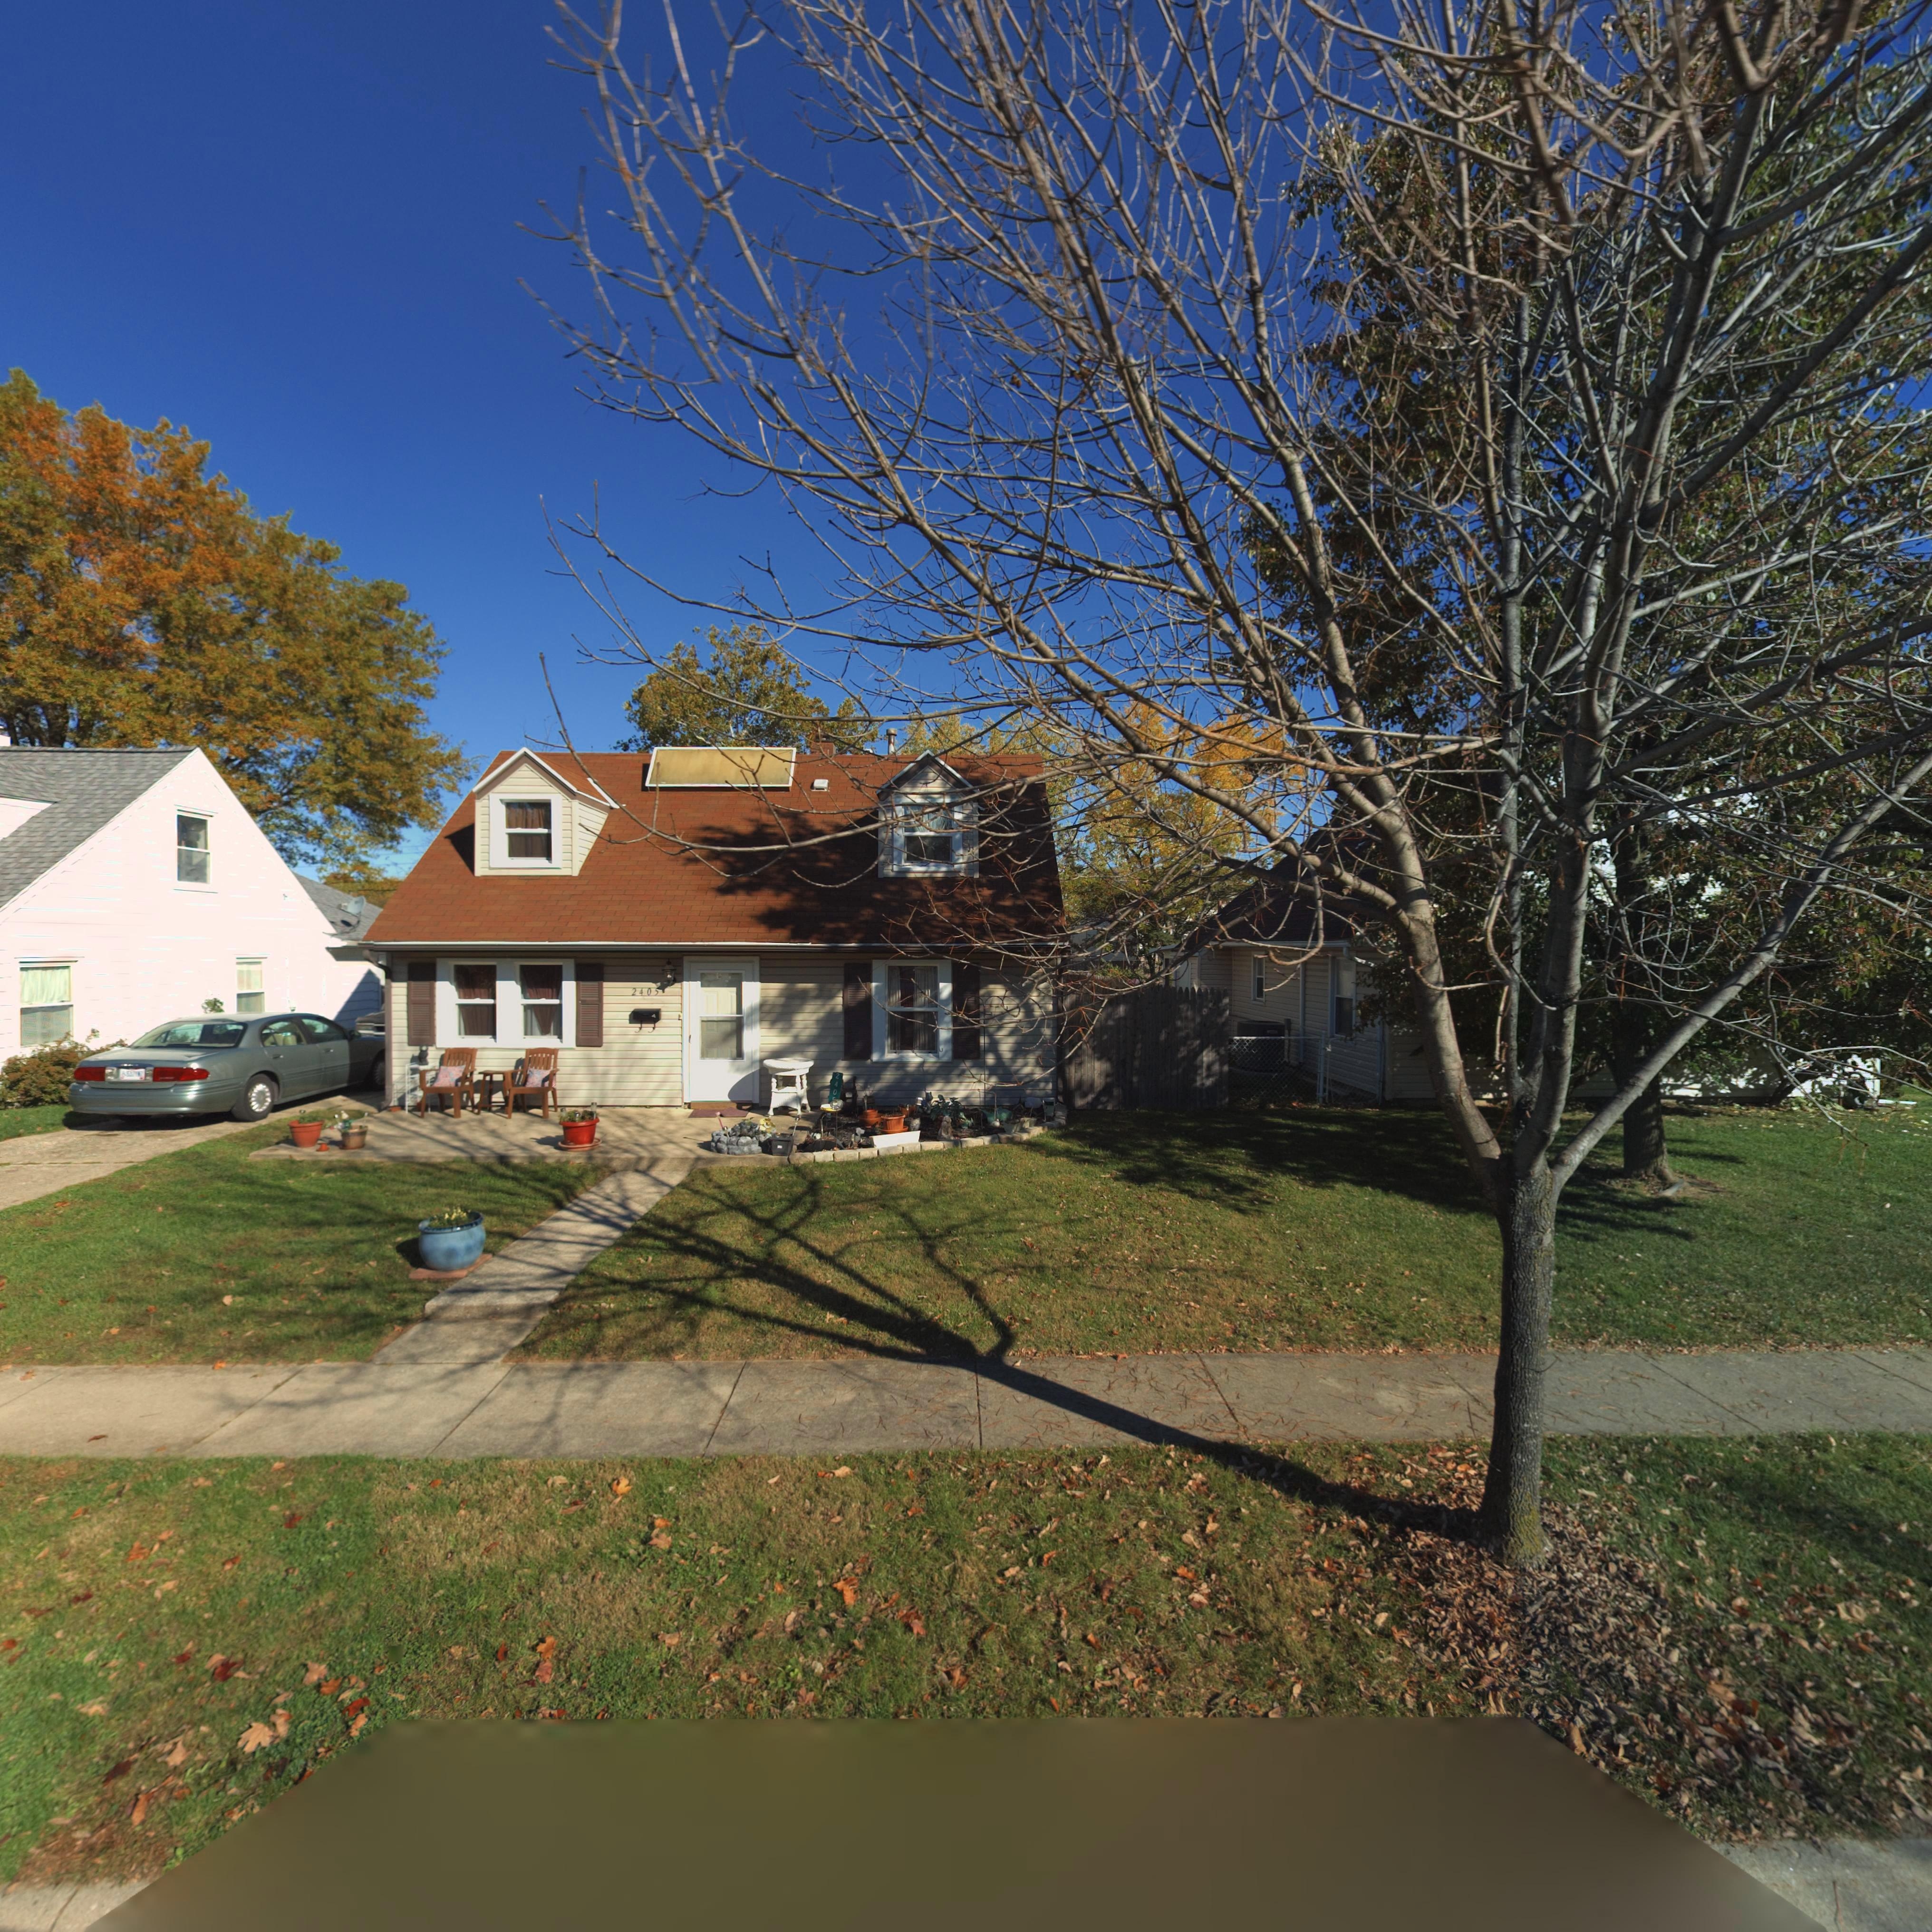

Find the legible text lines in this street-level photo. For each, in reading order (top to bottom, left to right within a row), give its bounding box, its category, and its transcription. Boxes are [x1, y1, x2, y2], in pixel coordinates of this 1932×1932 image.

[630, 987, 660, 996] StreetNumber: 2405